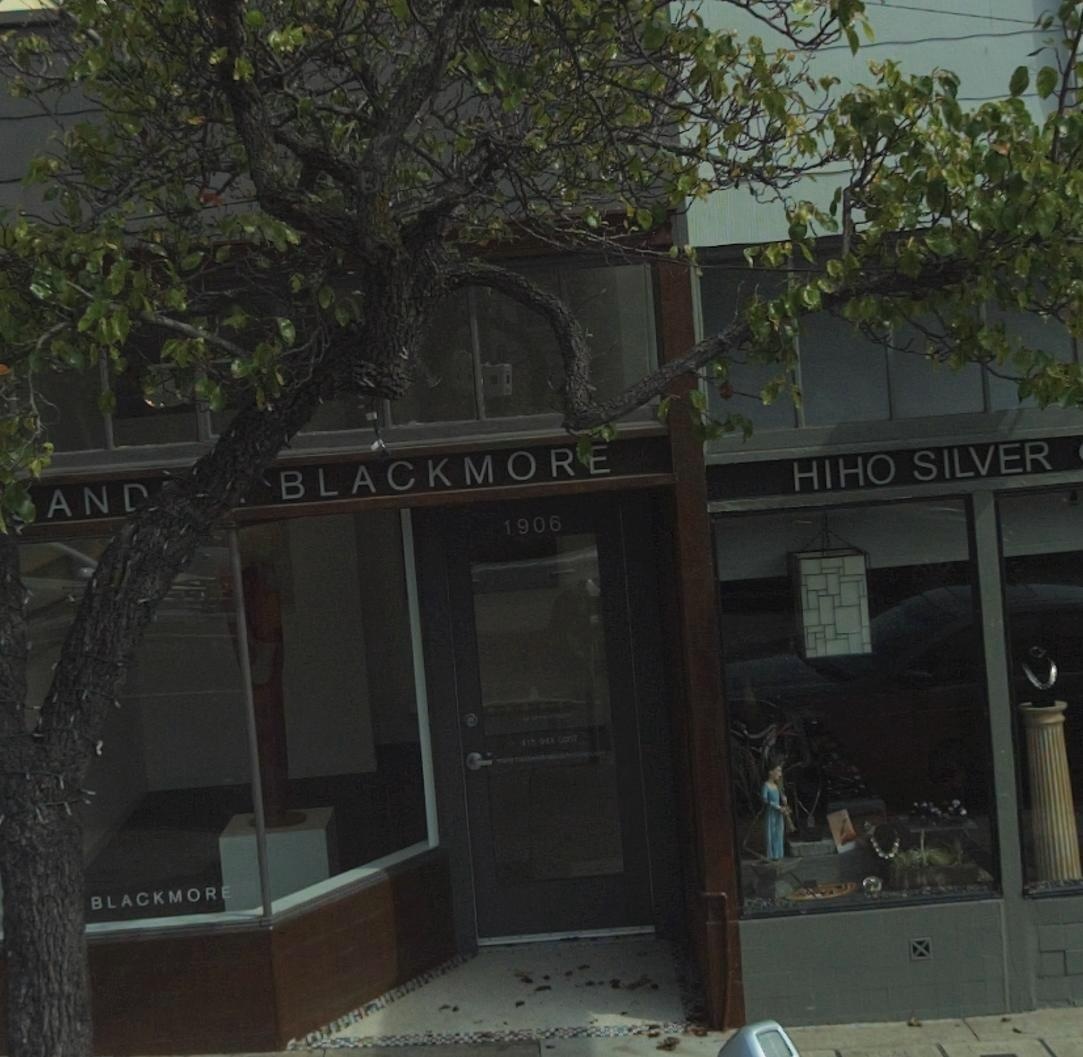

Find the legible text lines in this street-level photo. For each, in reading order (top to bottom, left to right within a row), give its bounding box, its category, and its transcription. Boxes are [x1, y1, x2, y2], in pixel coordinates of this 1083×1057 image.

[276, 440, 617, 505] BusinessName: BLACKMORE
[788, 437, 1057, 496] BusinessName: HIHO SILVER
[41, 481, 112, 523] BusinessName: AN
[500, 511, 565, 539] StreetNumber: 1906
[87, 882, 235, 914] None: BLACKMORE